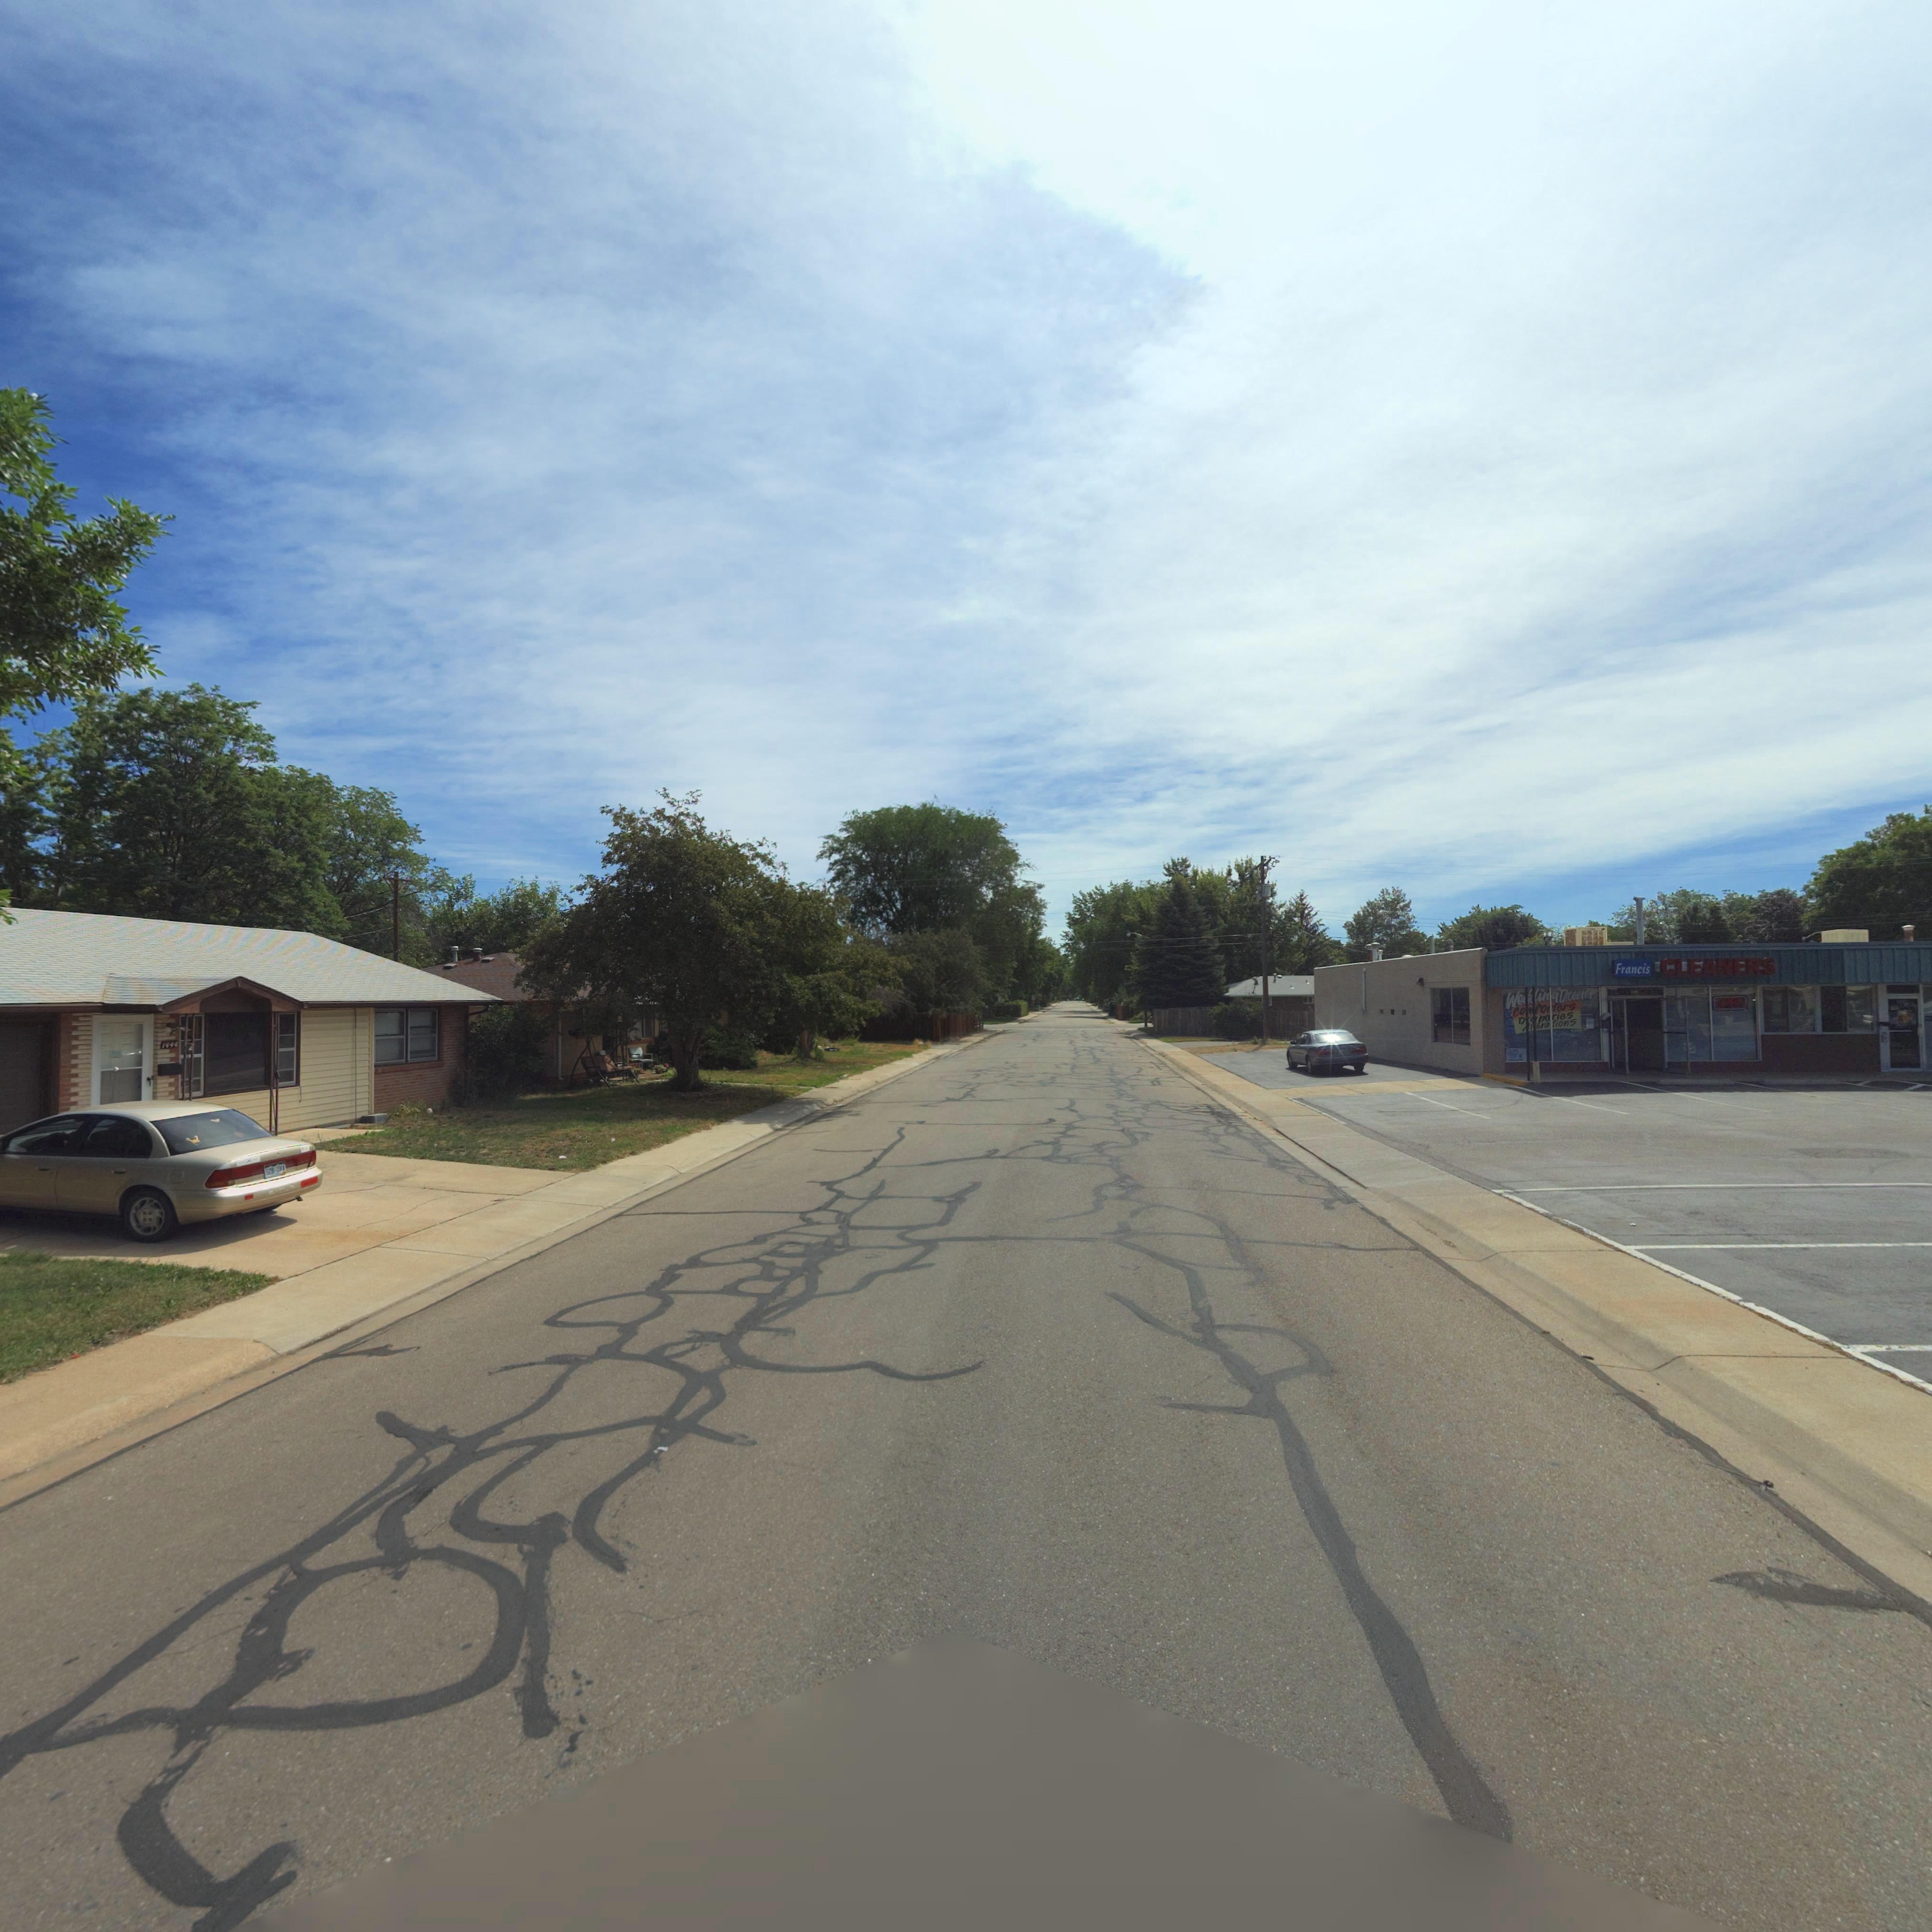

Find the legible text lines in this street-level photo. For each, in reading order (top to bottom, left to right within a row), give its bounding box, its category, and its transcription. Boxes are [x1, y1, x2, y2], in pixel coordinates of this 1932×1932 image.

[1615, 962, 1651, 974] BusinessName: Francis
[1658, 956, 1776, 978] BusinessName: CLEANERS